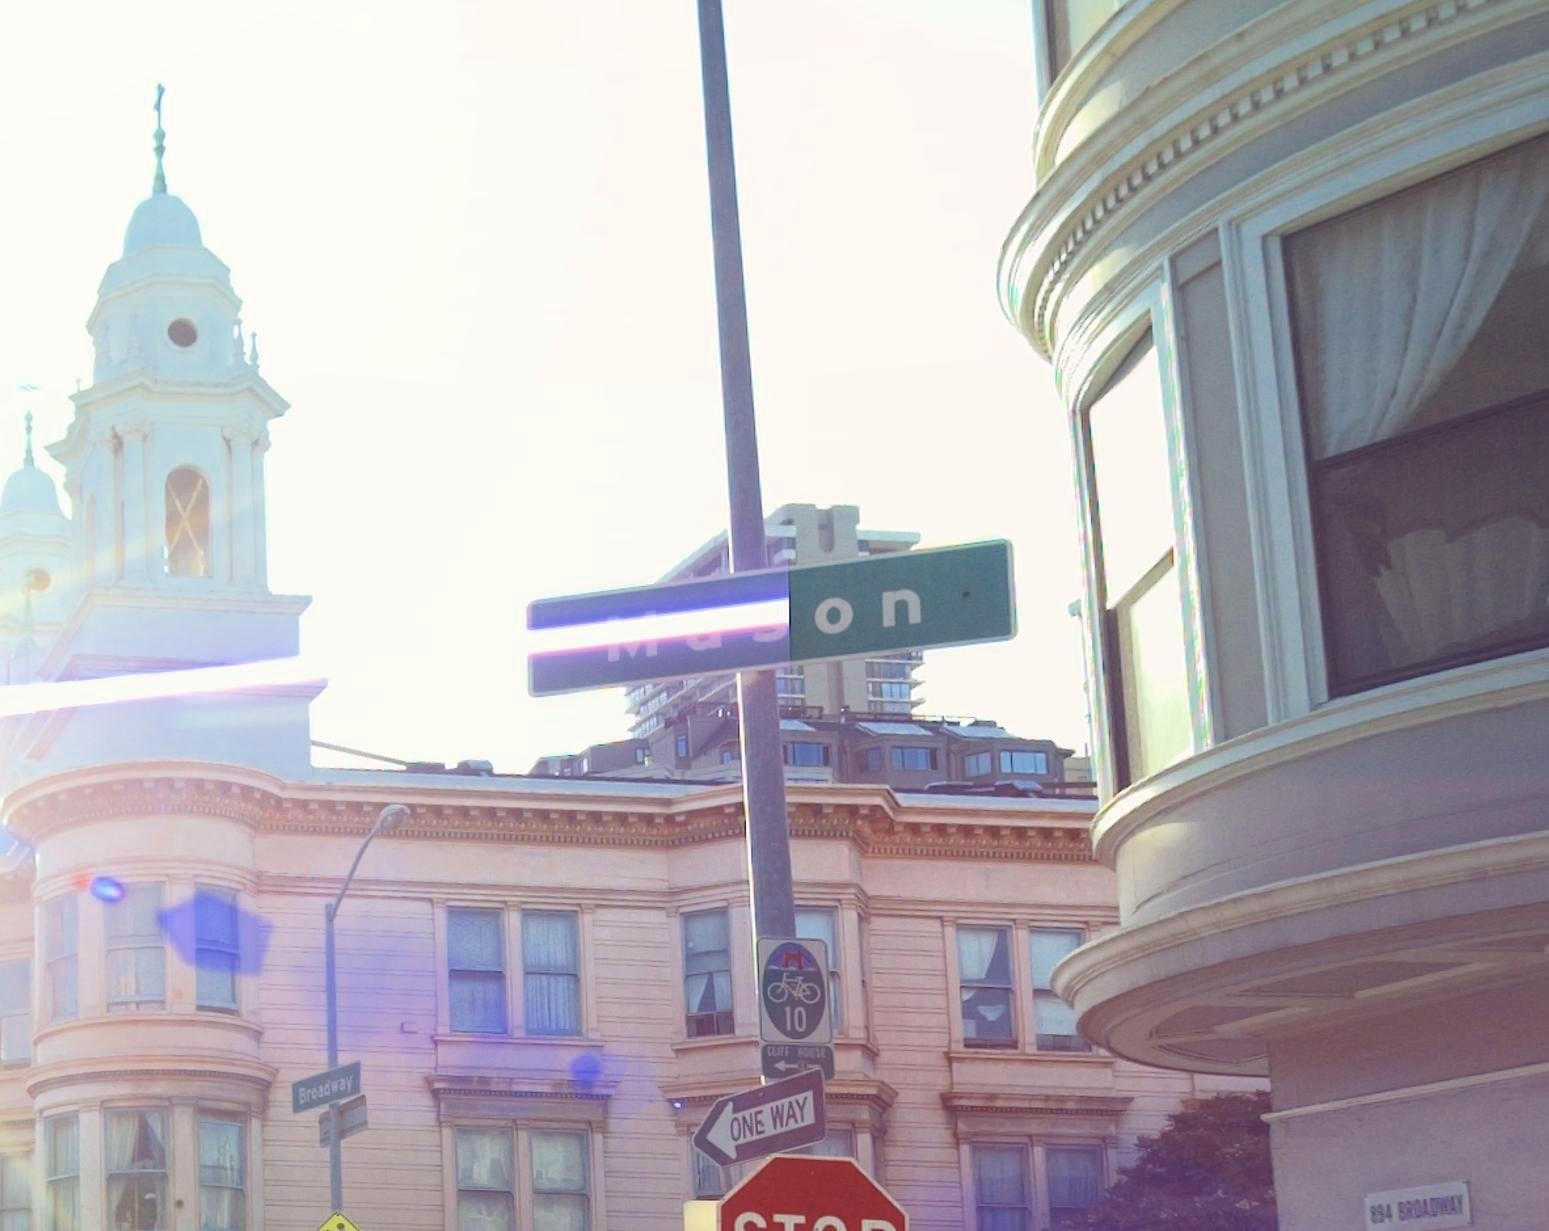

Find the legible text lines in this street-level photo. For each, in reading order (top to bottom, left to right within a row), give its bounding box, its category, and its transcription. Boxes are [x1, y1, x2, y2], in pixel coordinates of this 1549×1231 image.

[600, 572, 928, 669] StreetName: ***on
[781, 1002, 810, 1035] None: 10
[296, 1070, 357, 1109] StreetName: Broadway
[726, 1091, 811, 1146] None: ONE WAY
[1365, 1198, 1397, 1229] StreetNumber: 8*4
[1395, 1190, 1468, 1225] StreetName: BROADWAY